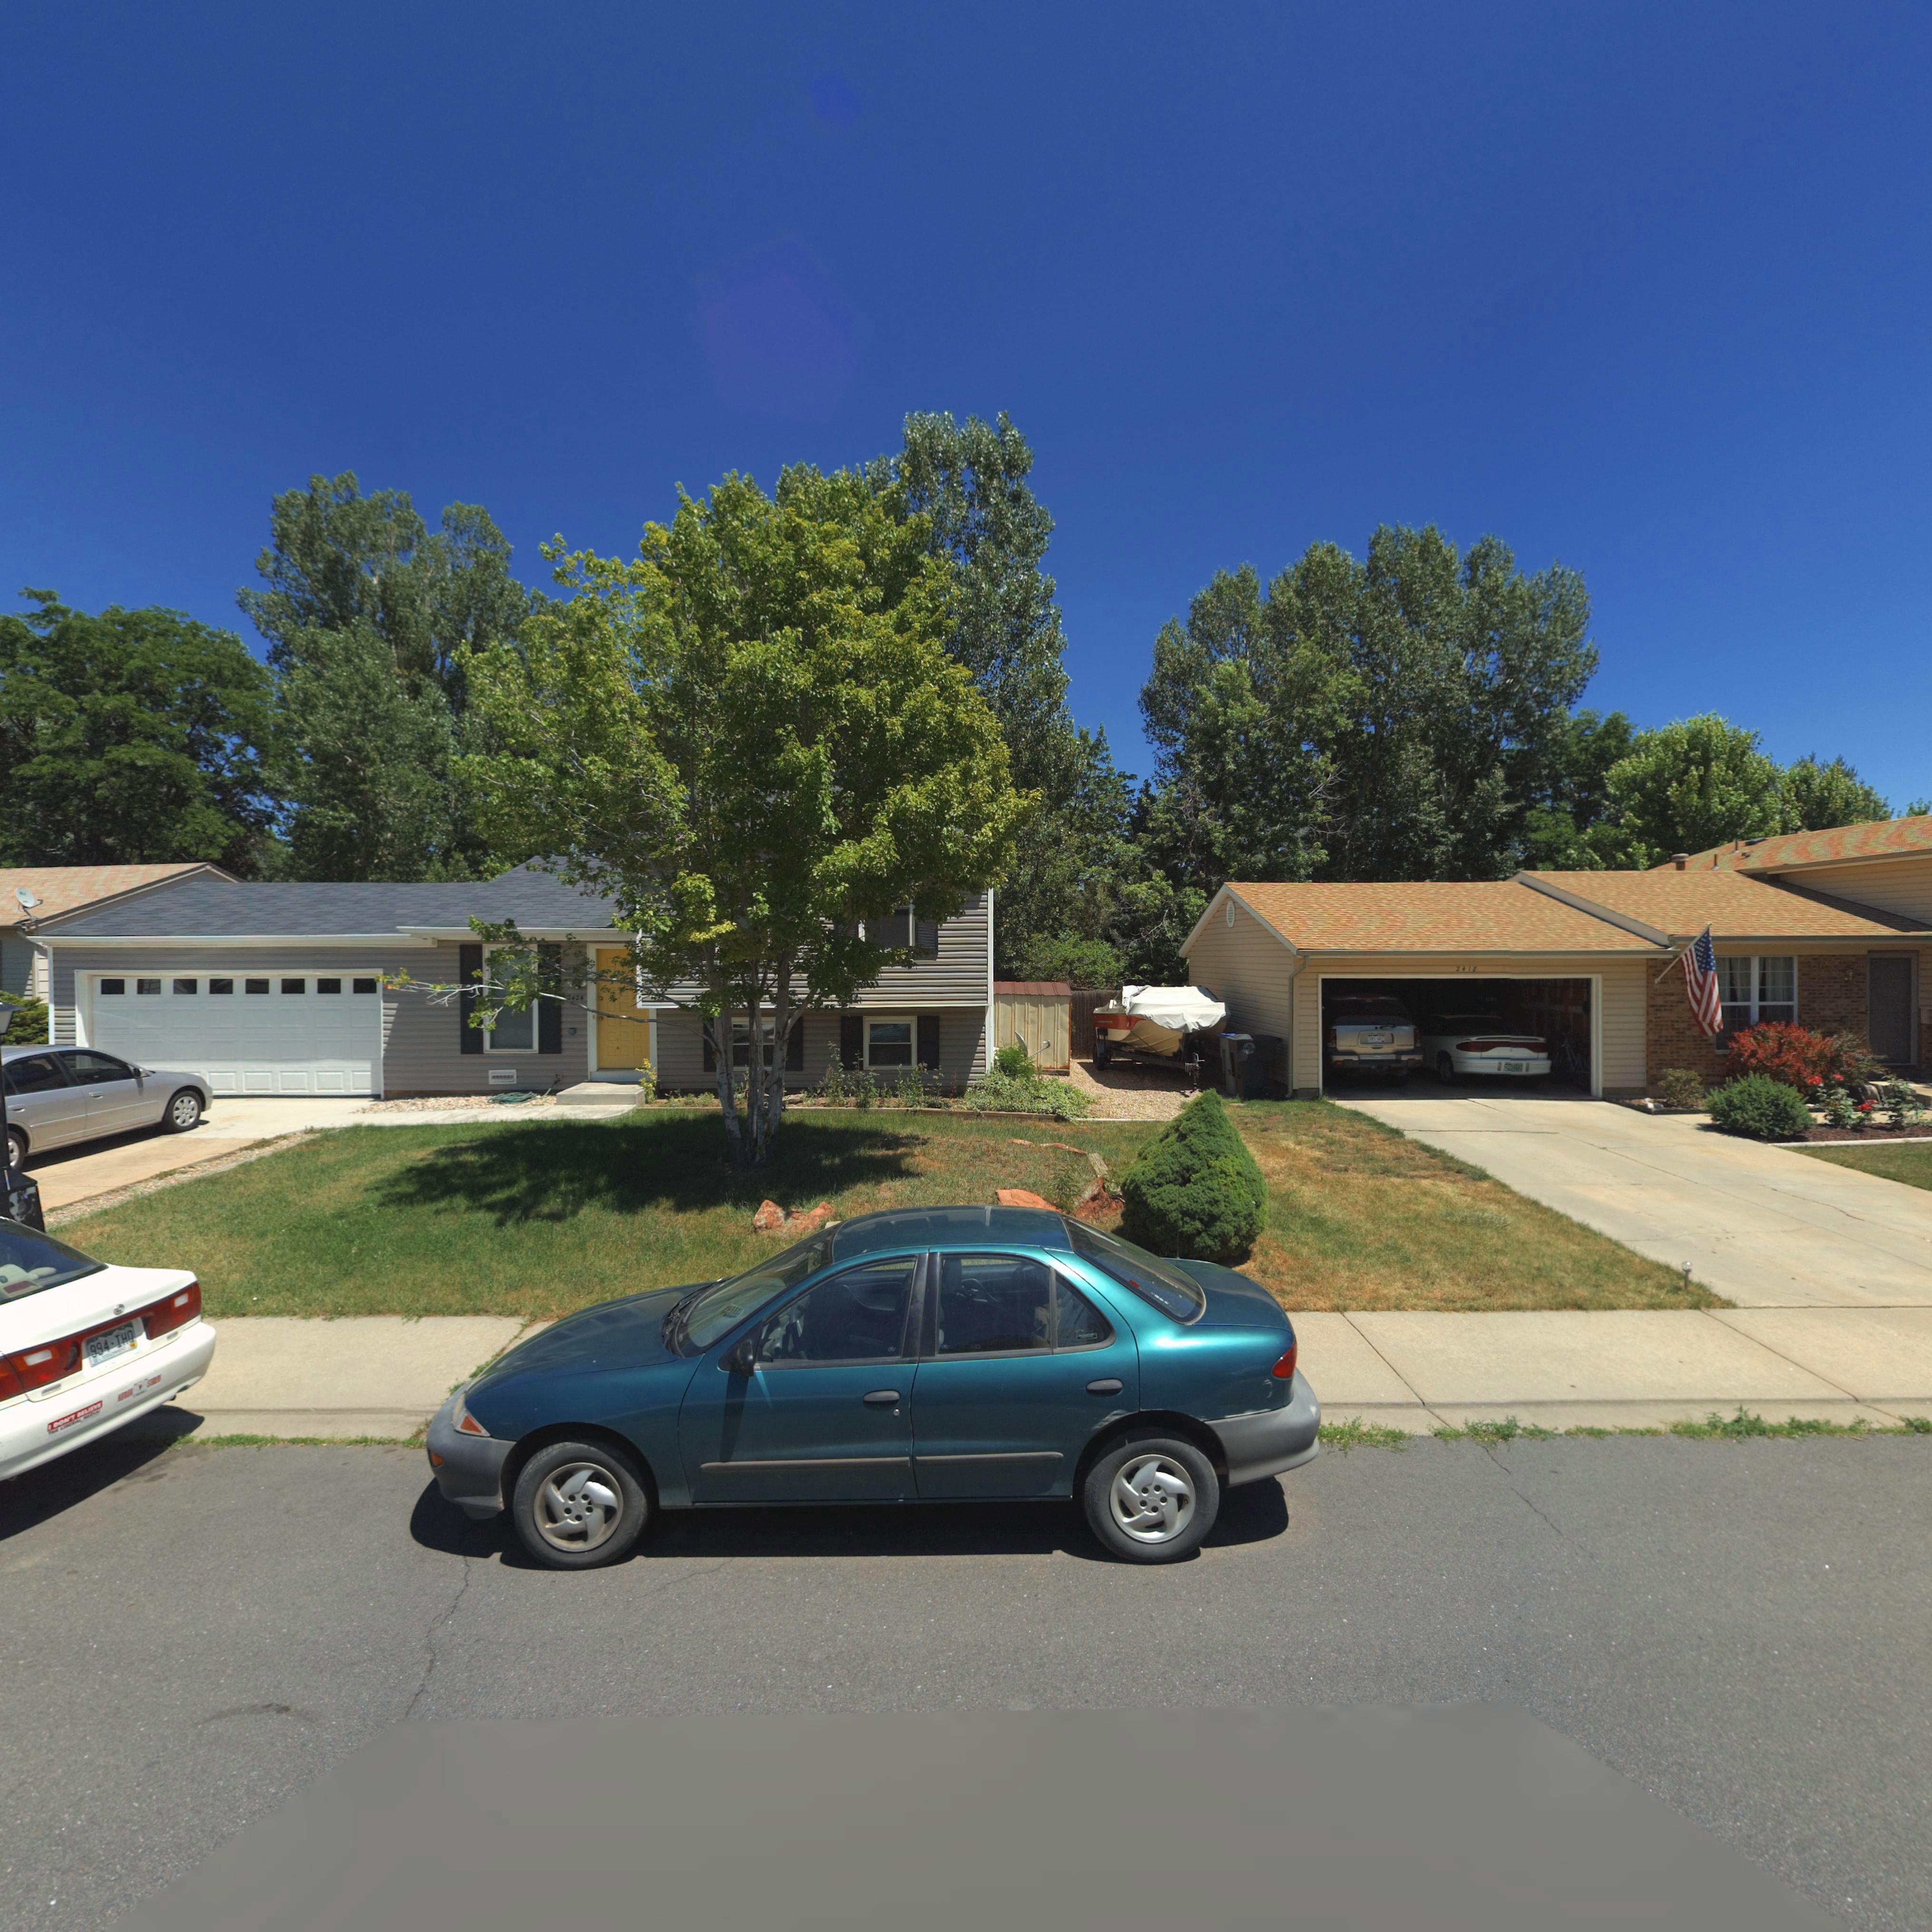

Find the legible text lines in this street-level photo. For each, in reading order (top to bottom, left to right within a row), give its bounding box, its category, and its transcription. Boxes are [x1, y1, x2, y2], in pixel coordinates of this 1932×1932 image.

[1456, 966, 1477, 973] StreetNumber: 2418
[567, 994, 584, 1000] StreetNumber: 2424